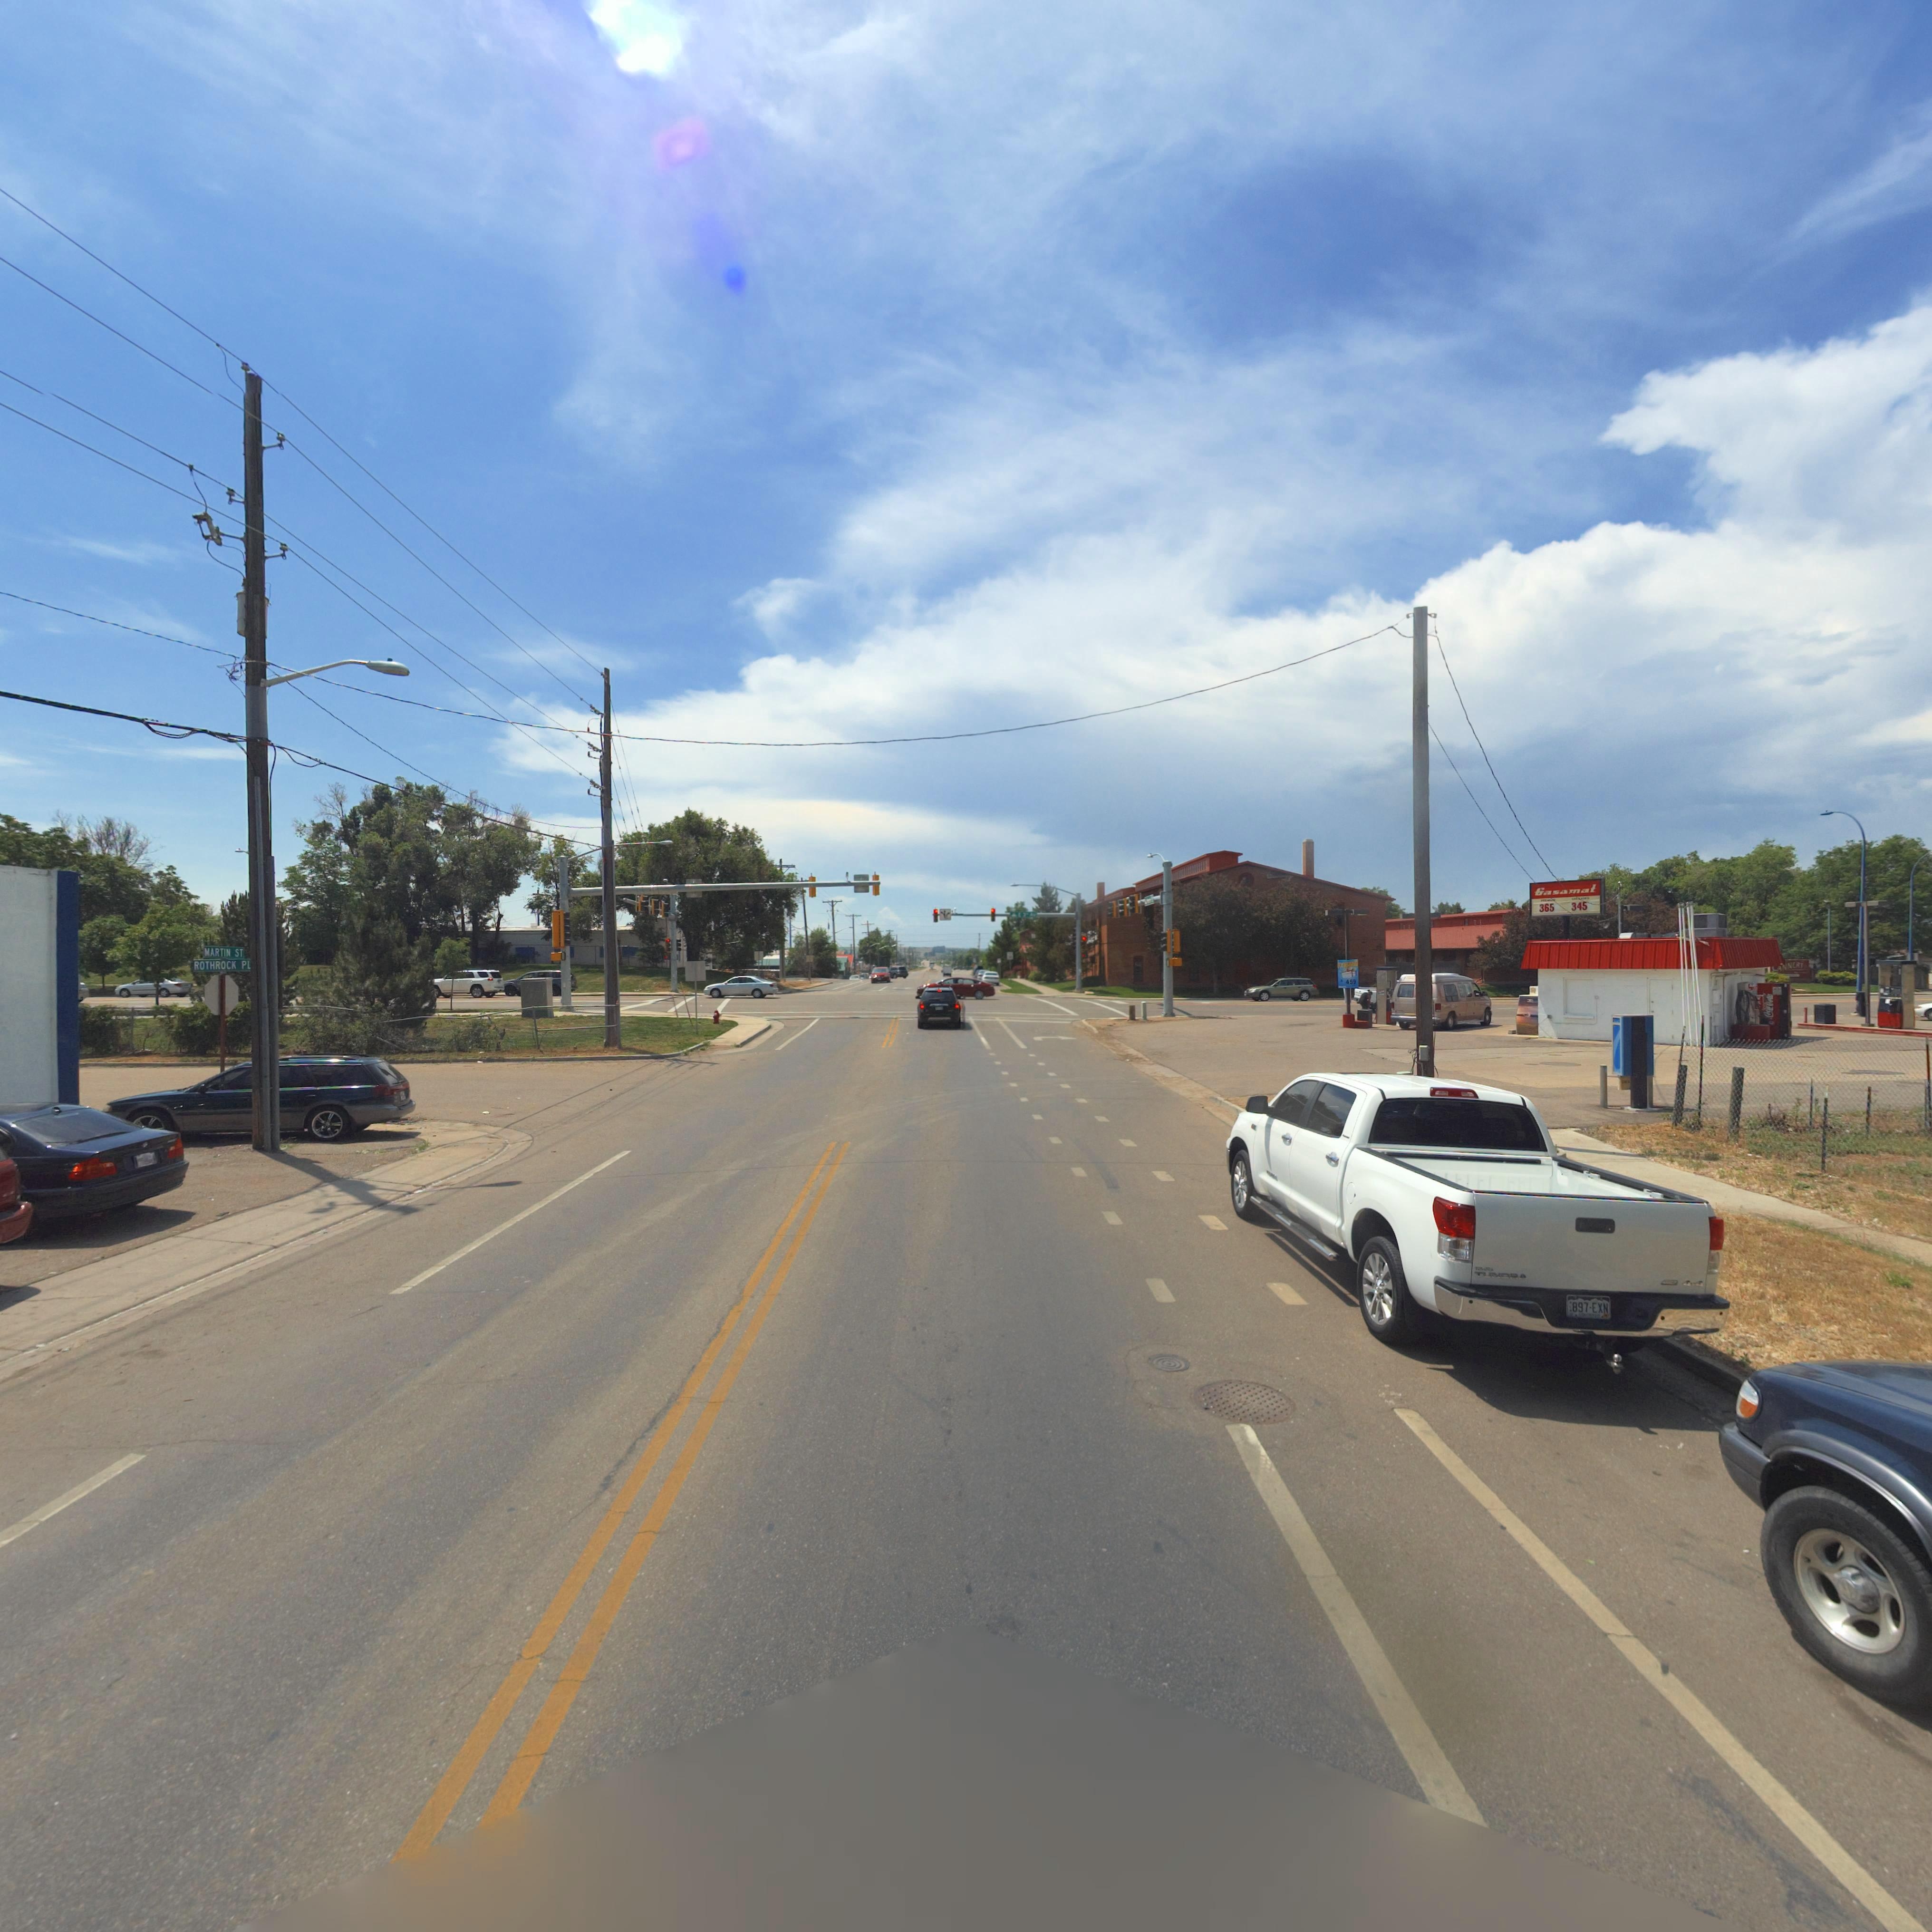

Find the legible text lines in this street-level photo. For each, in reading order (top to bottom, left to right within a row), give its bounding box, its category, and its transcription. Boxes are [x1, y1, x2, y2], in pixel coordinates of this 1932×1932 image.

[1534, 883, 1596, 896] BusinessName: Gasamat
[1018, 912, 1036, 917] StreetName: E 3**Av
[204, 947, 243, 957] StreetName: MARTIN ST
[194, 960, 250, 970] StreetName: ROTHROCK PL
[1777, 962, 1804, 971] BusinessName: *NNERY